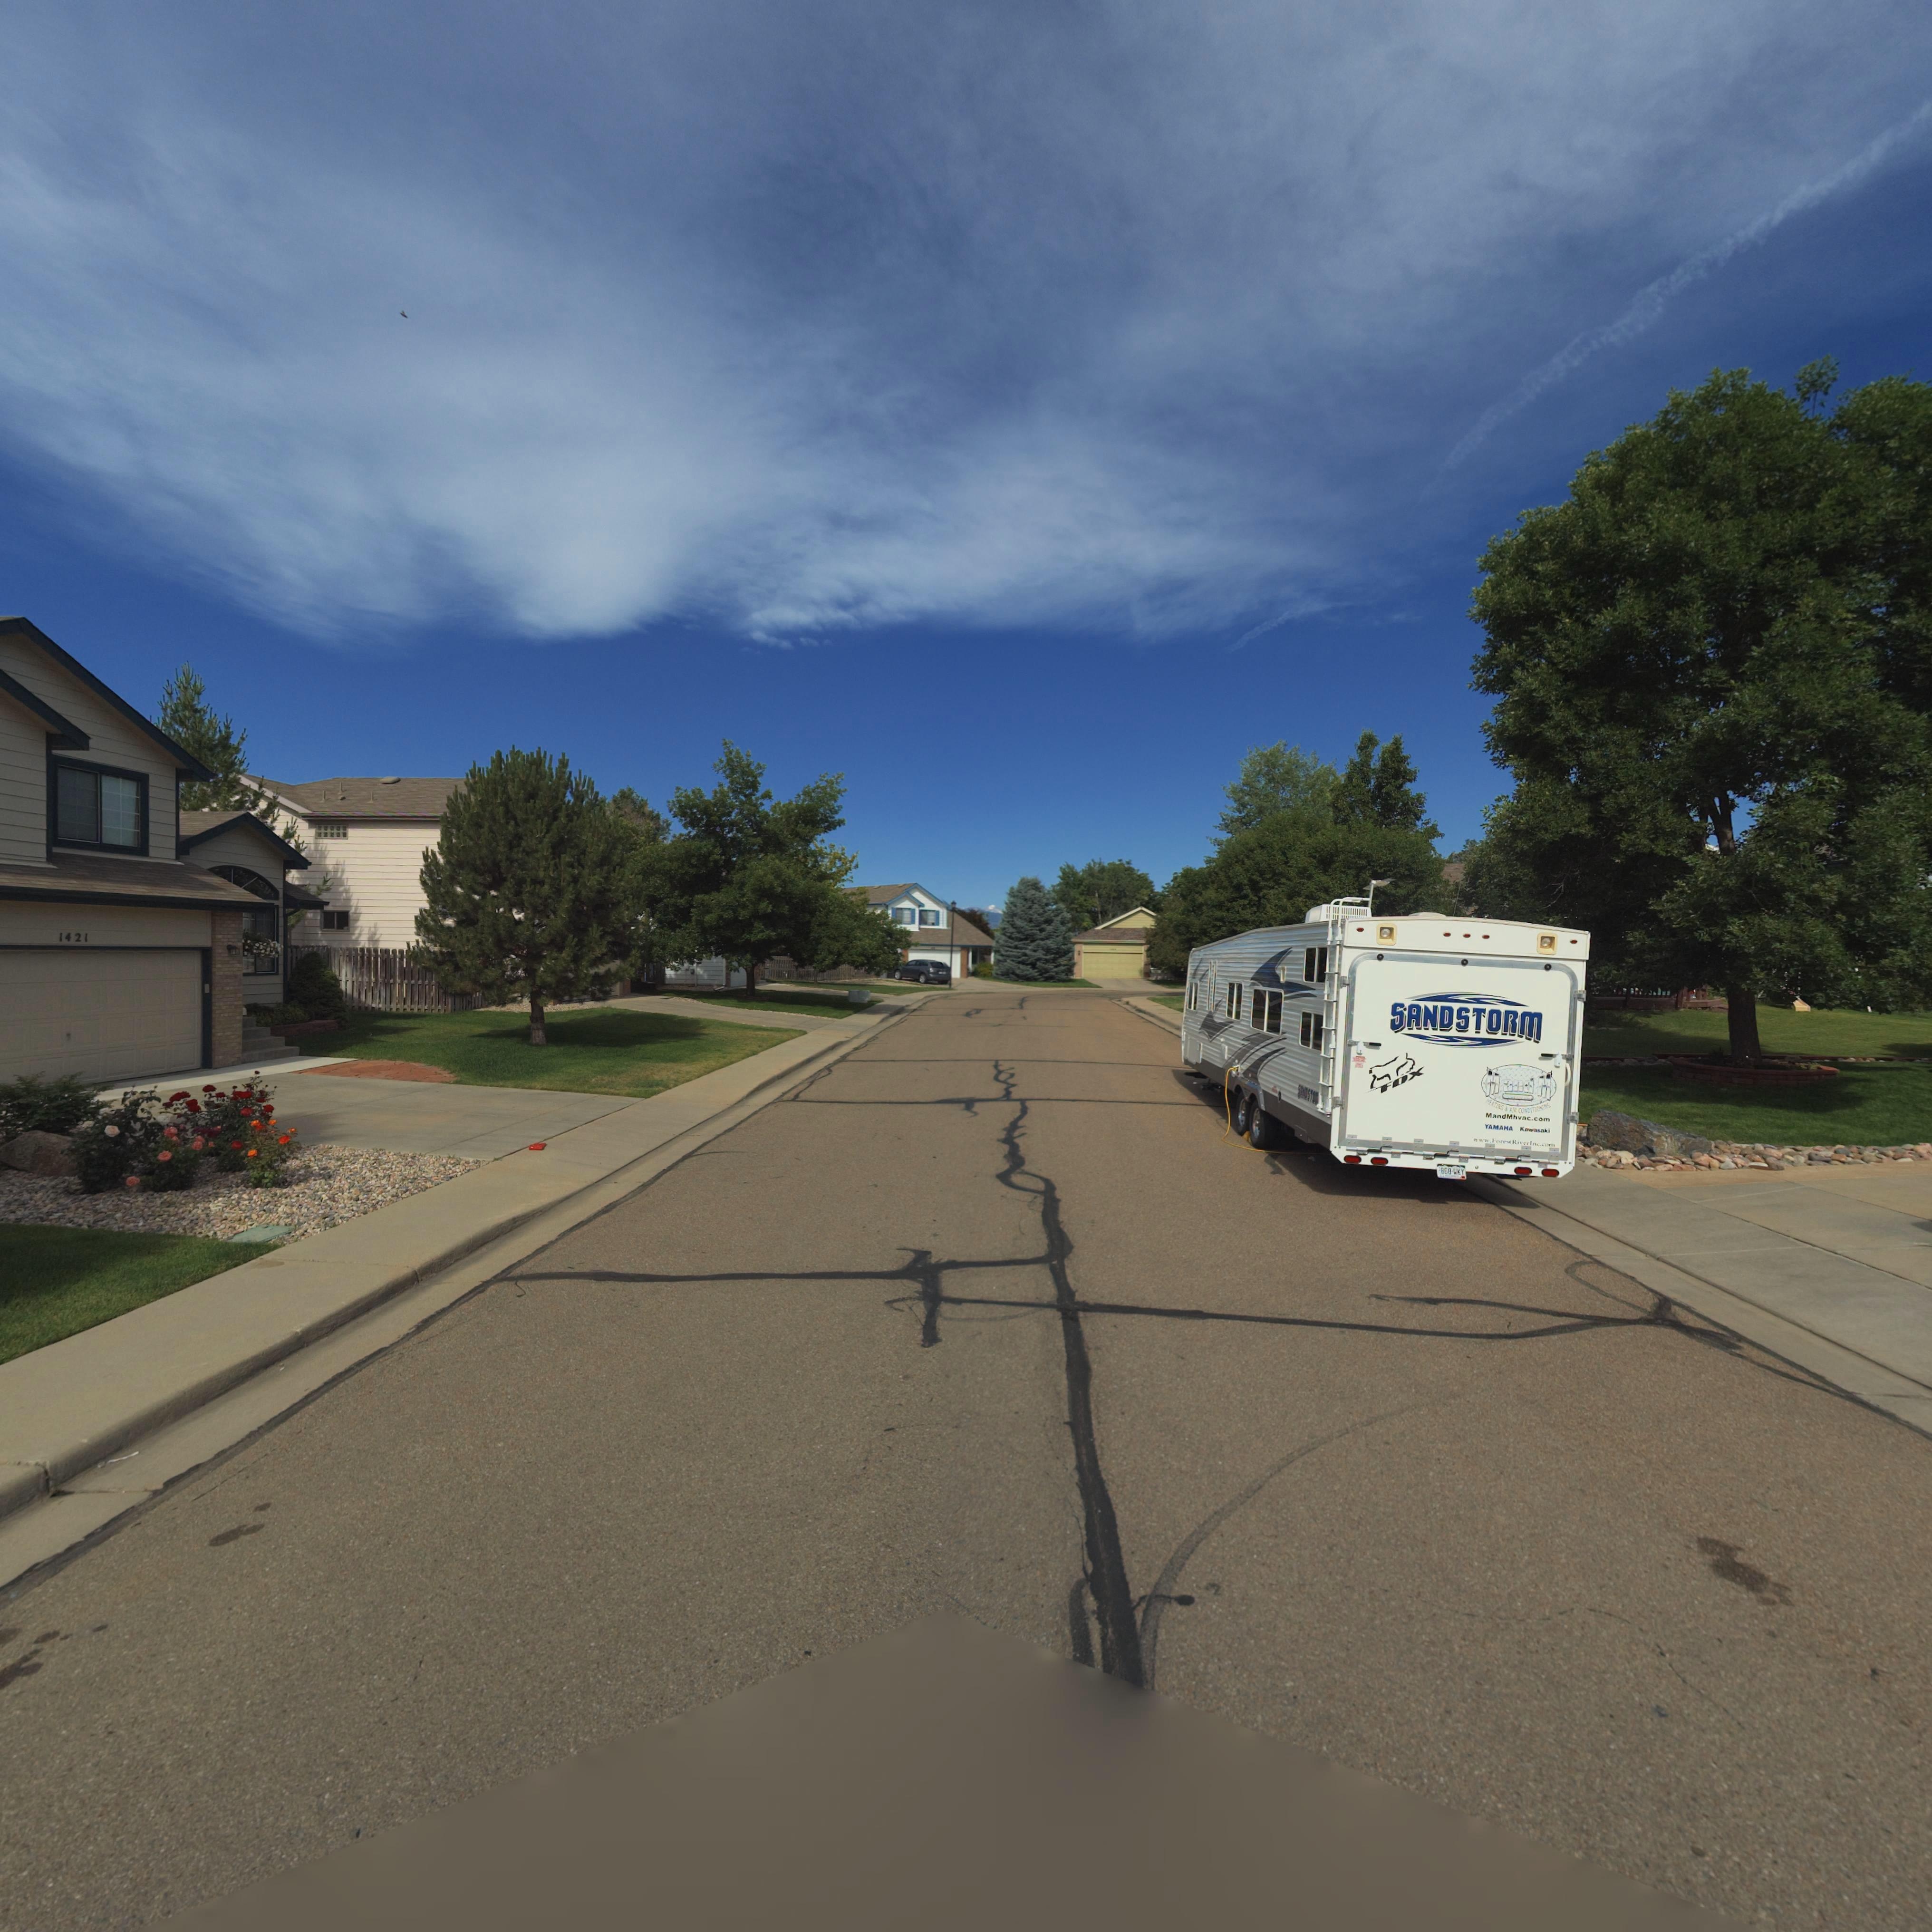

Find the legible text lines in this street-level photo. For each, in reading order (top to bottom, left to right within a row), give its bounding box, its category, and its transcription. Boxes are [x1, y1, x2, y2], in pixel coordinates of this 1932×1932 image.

[58, 932, 88, 942] StreetNumber: 1421